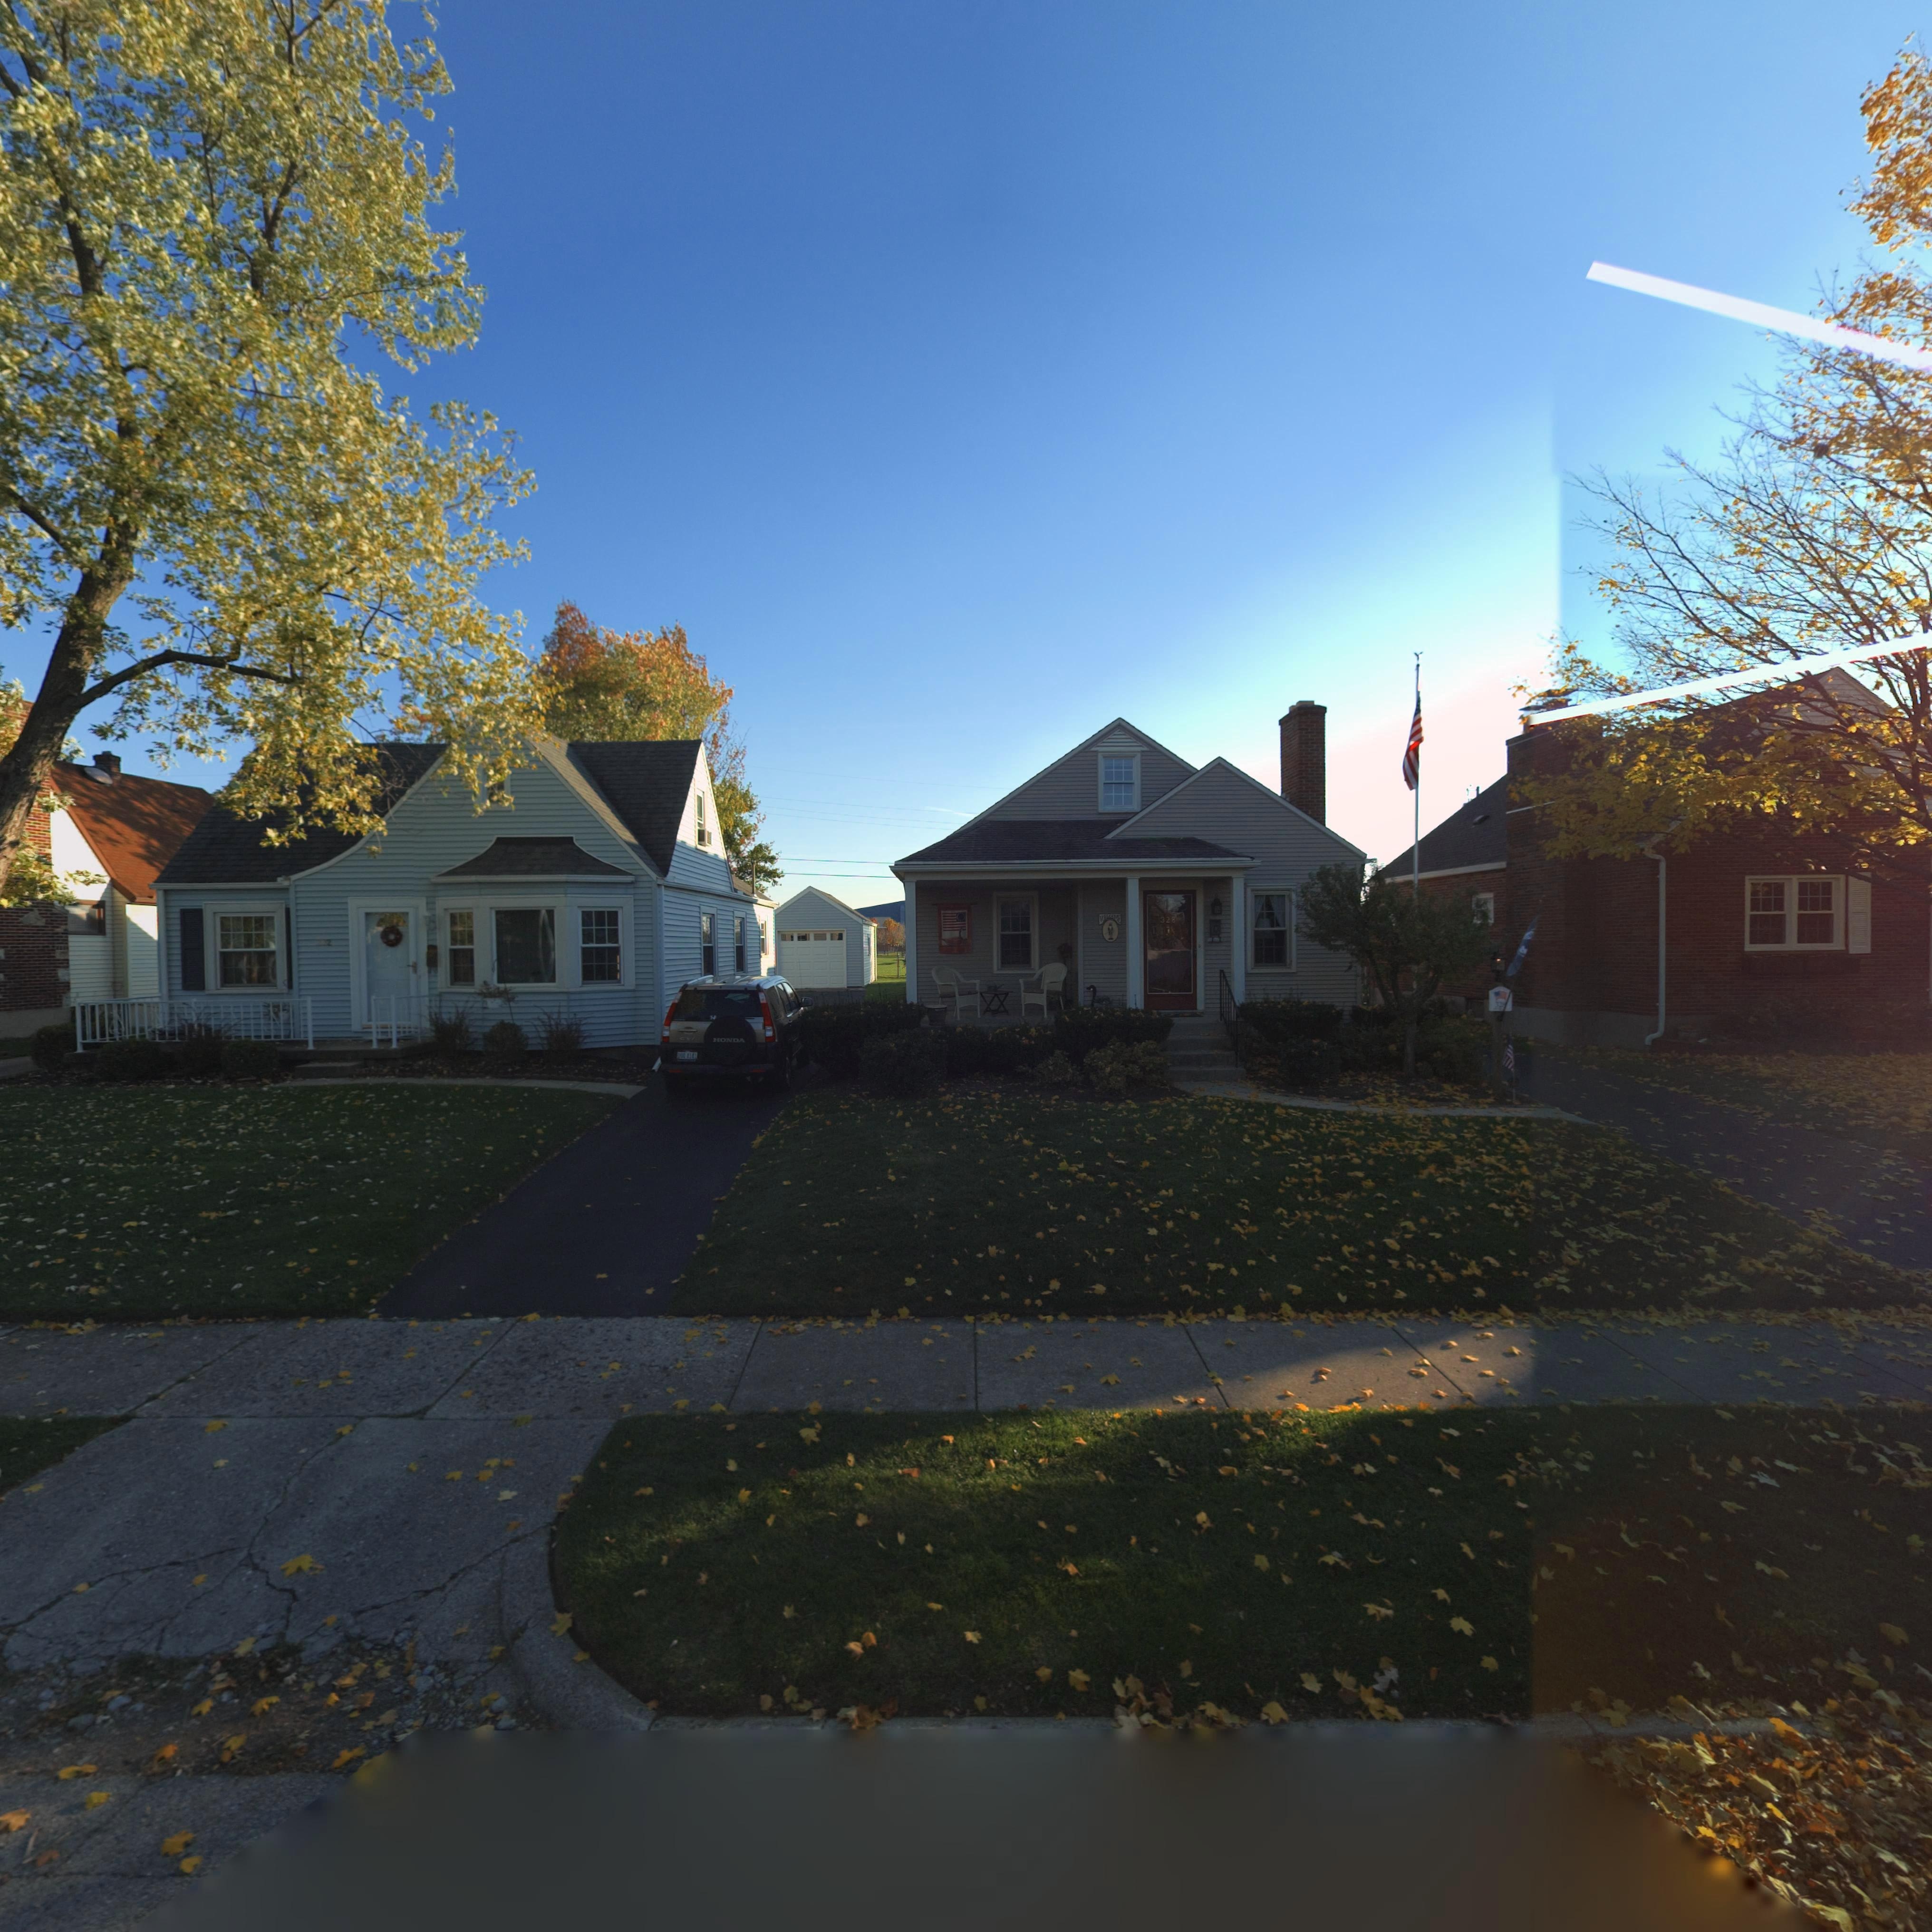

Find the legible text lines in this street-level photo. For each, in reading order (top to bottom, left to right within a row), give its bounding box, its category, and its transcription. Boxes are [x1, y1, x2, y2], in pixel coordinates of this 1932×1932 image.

[1160, 916, 1176, 924] StreetNumber: 328
[326, 938, 332, 947] StreetNumber: 2